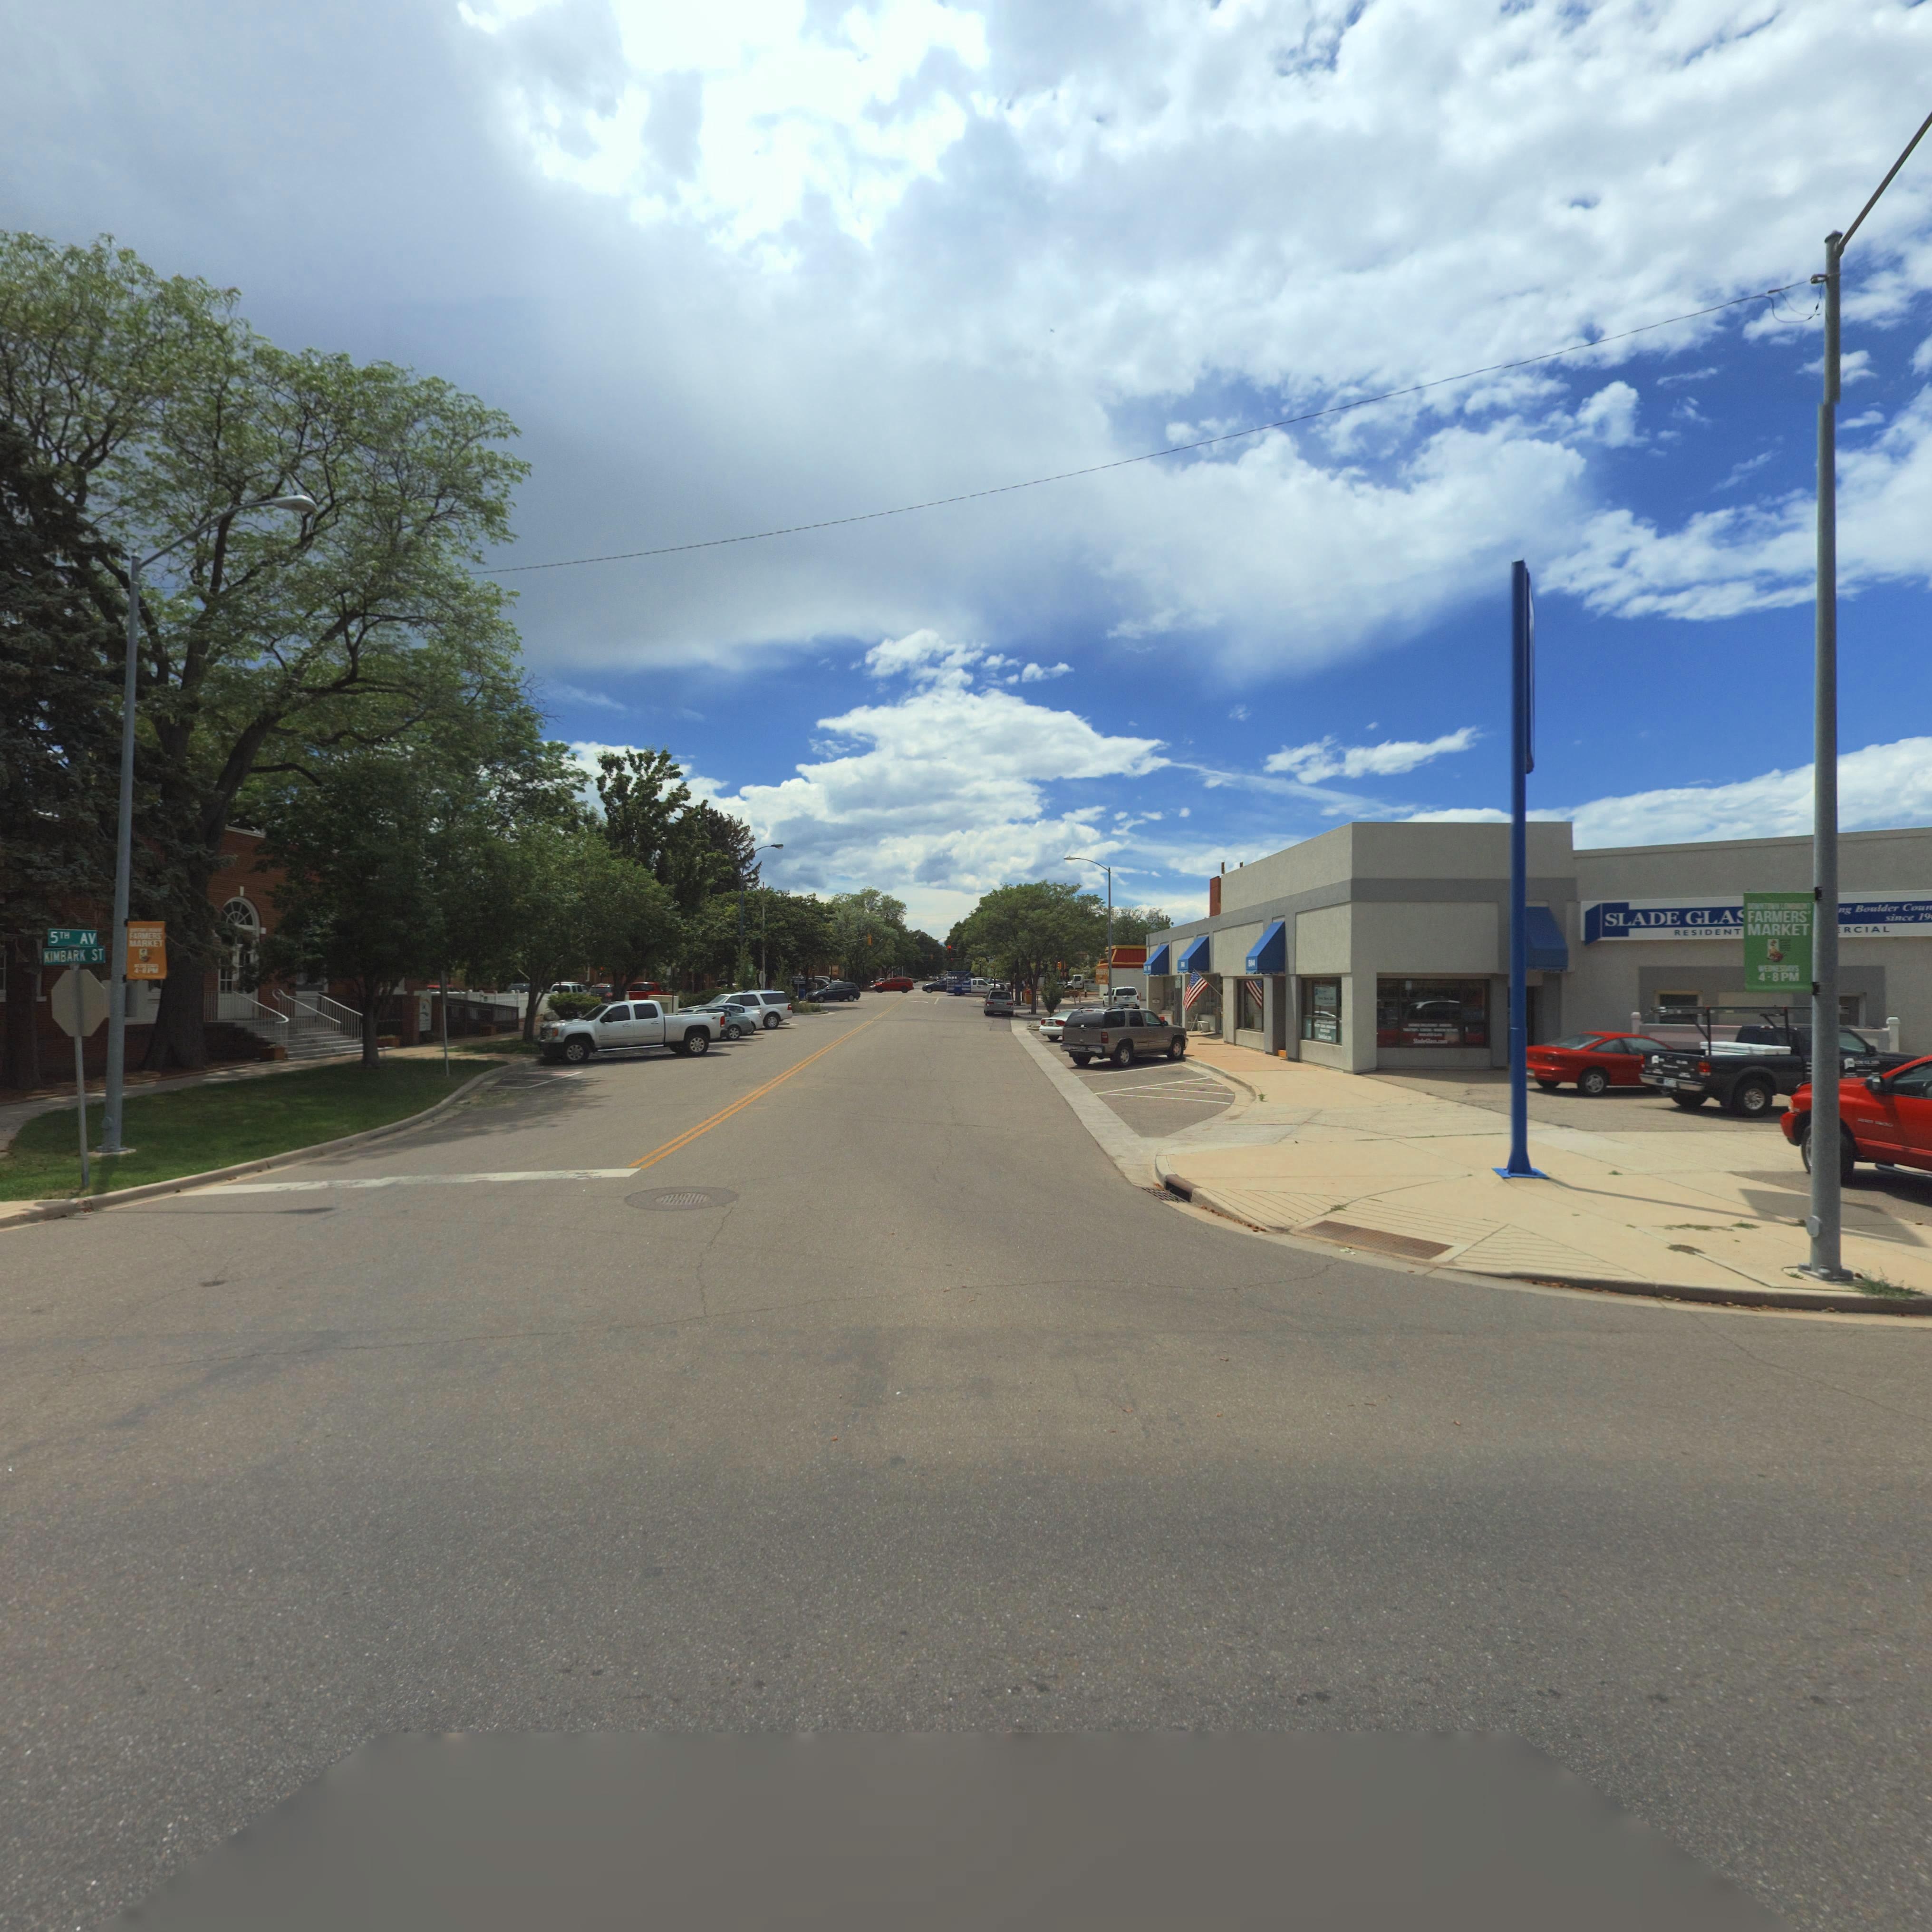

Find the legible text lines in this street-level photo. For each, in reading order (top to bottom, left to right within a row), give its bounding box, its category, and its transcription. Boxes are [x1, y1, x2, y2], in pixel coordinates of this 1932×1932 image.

[1604, 908, 1738, 927] BusinessName: SLADE GLA
[49, 930, 97, 945] BusinessName: 5TH AV
[43, 947, 104, 964] StreetName: KIMBARK ST
[1148, 966, 1150, 970] StreetNumber: 5**
[1180, 962, 1185, 967] StreetNumber: 5**
[1248, 959, 1255, 967] StreetNumber: 504